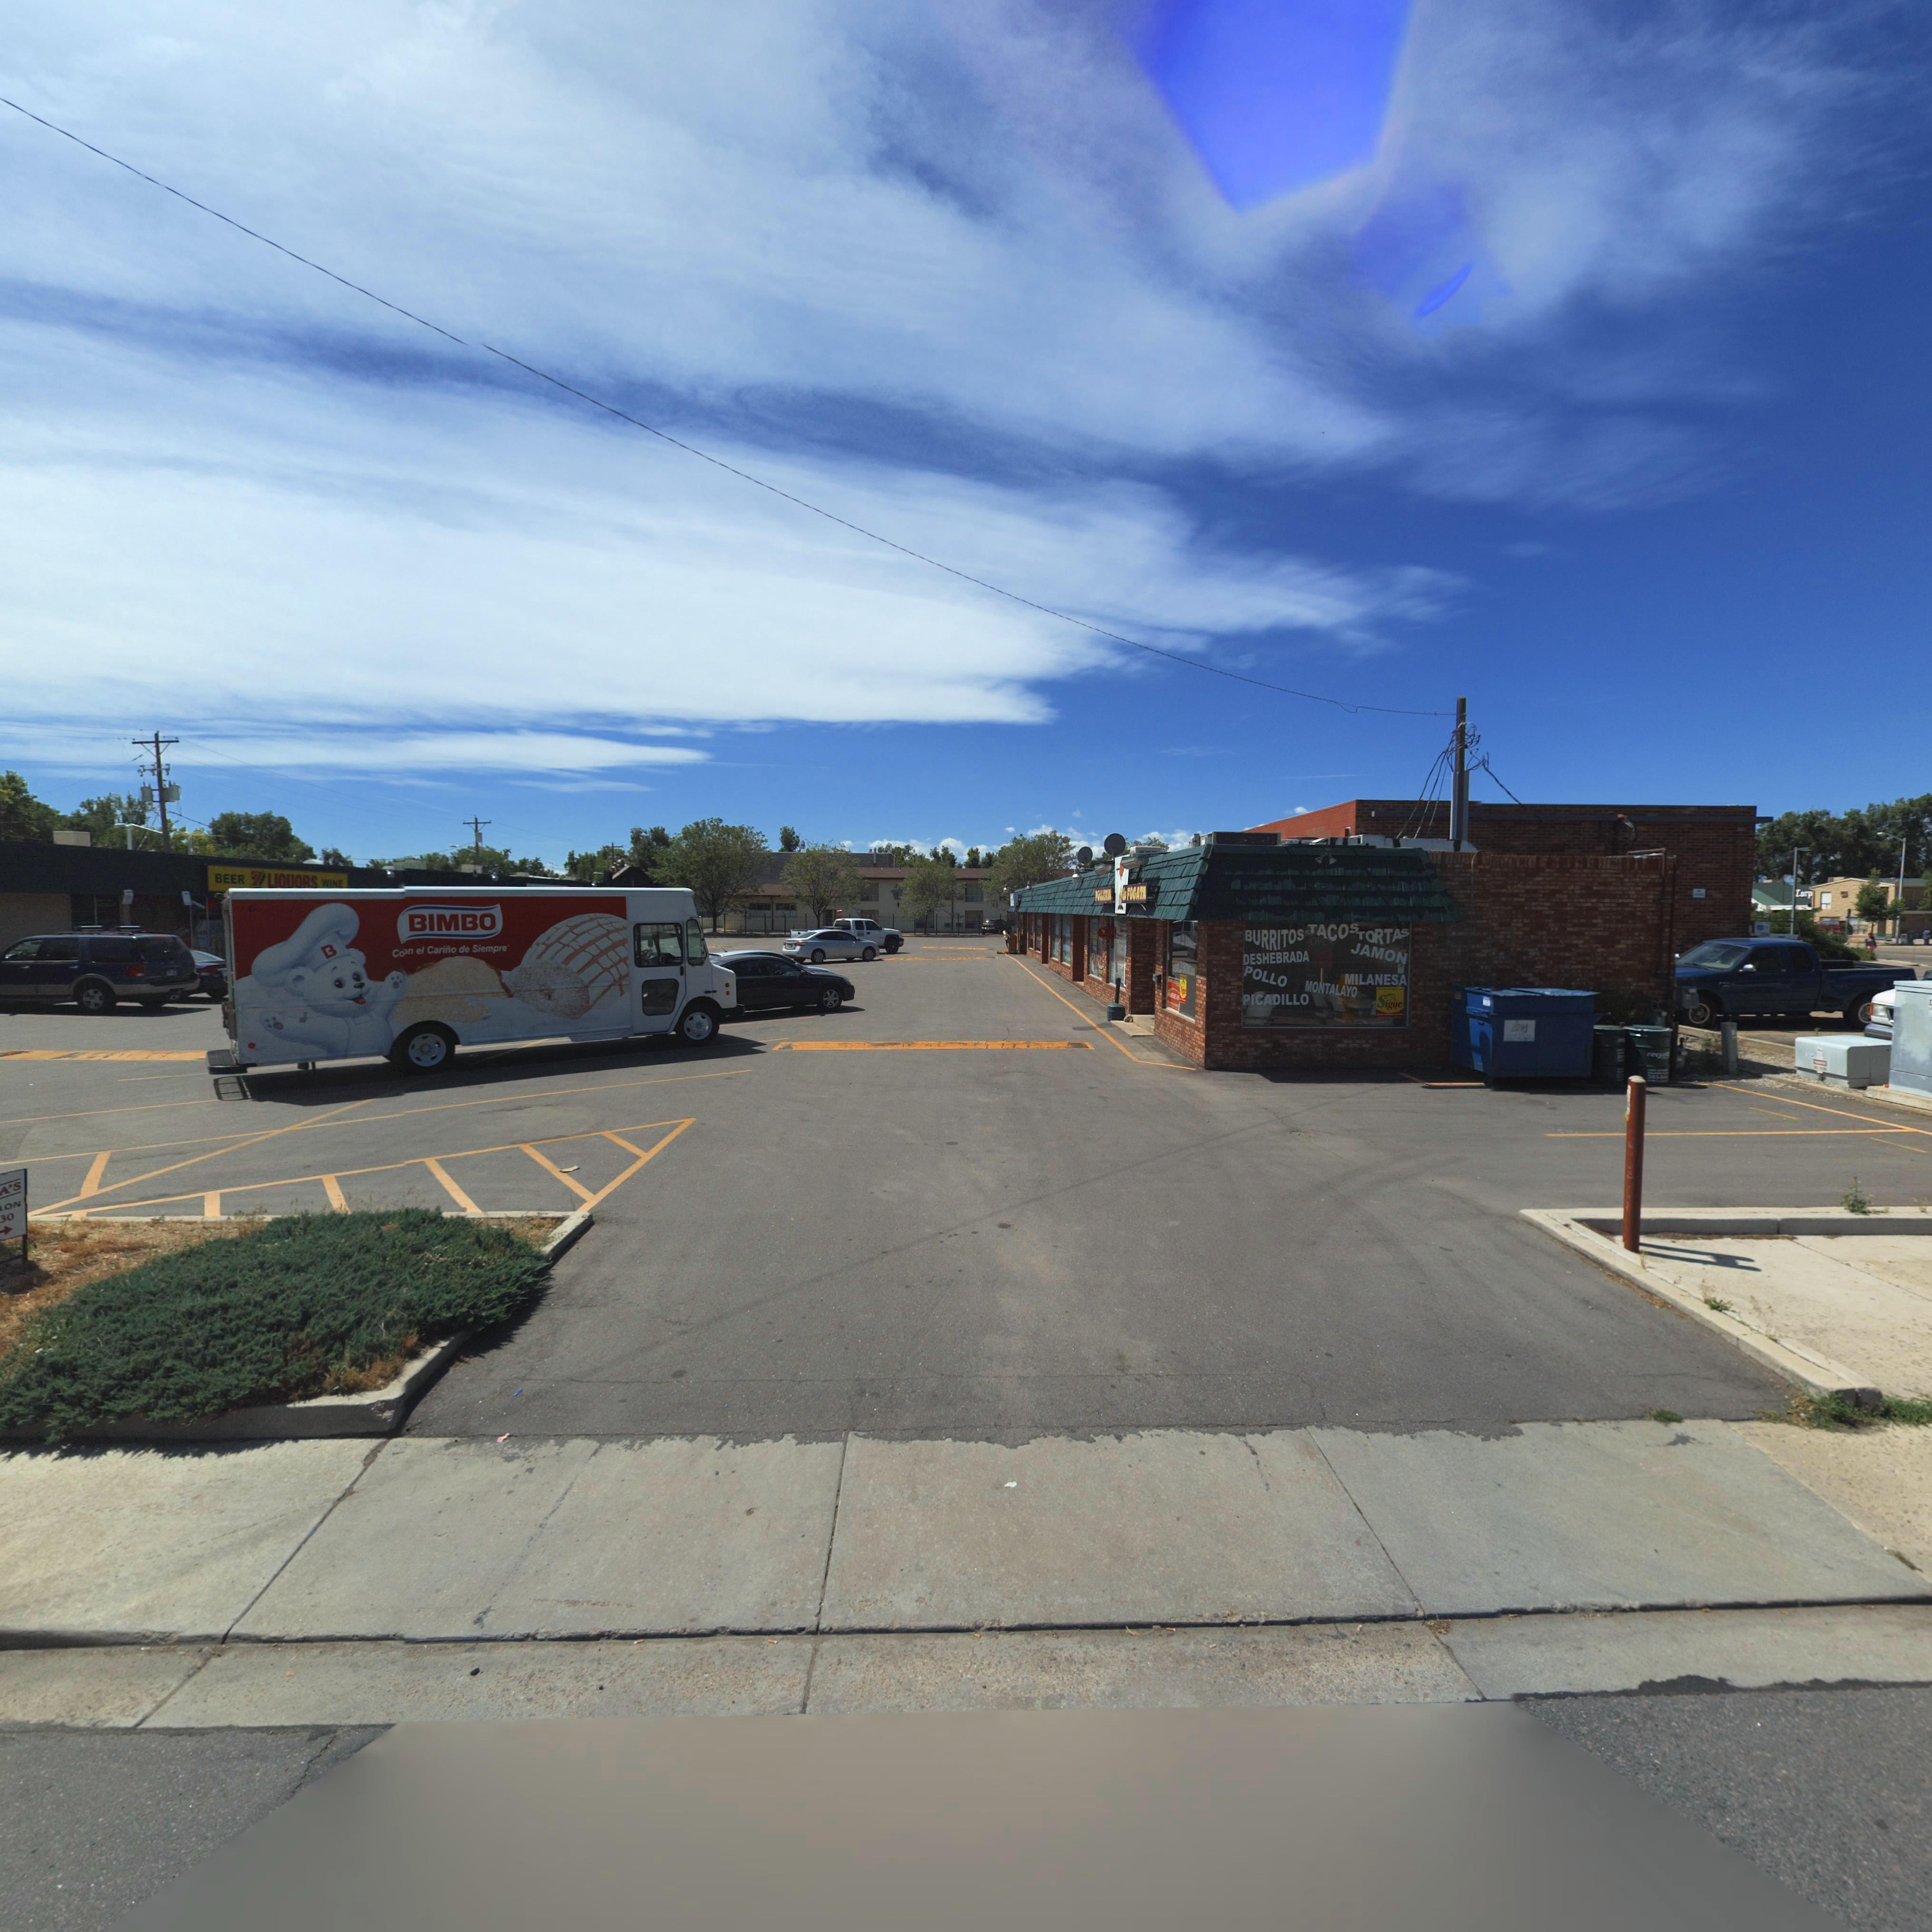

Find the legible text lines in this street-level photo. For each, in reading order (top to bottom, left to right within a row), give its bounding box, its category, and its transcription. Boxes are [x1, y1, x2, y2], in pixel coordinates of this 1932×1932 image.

[250, 870, 319, 888] BusinessName: 7 LI*U*RS
[1094, 885, 1147, 902] BusinessName: POLLE**A l* FOGATA
[1795, 889, 1814, 899] BusinessName: L**p
[0, 1180, 22, 1197] BusinessName: A'S
[3, 1200, 21, 1210] BusinessName: ON